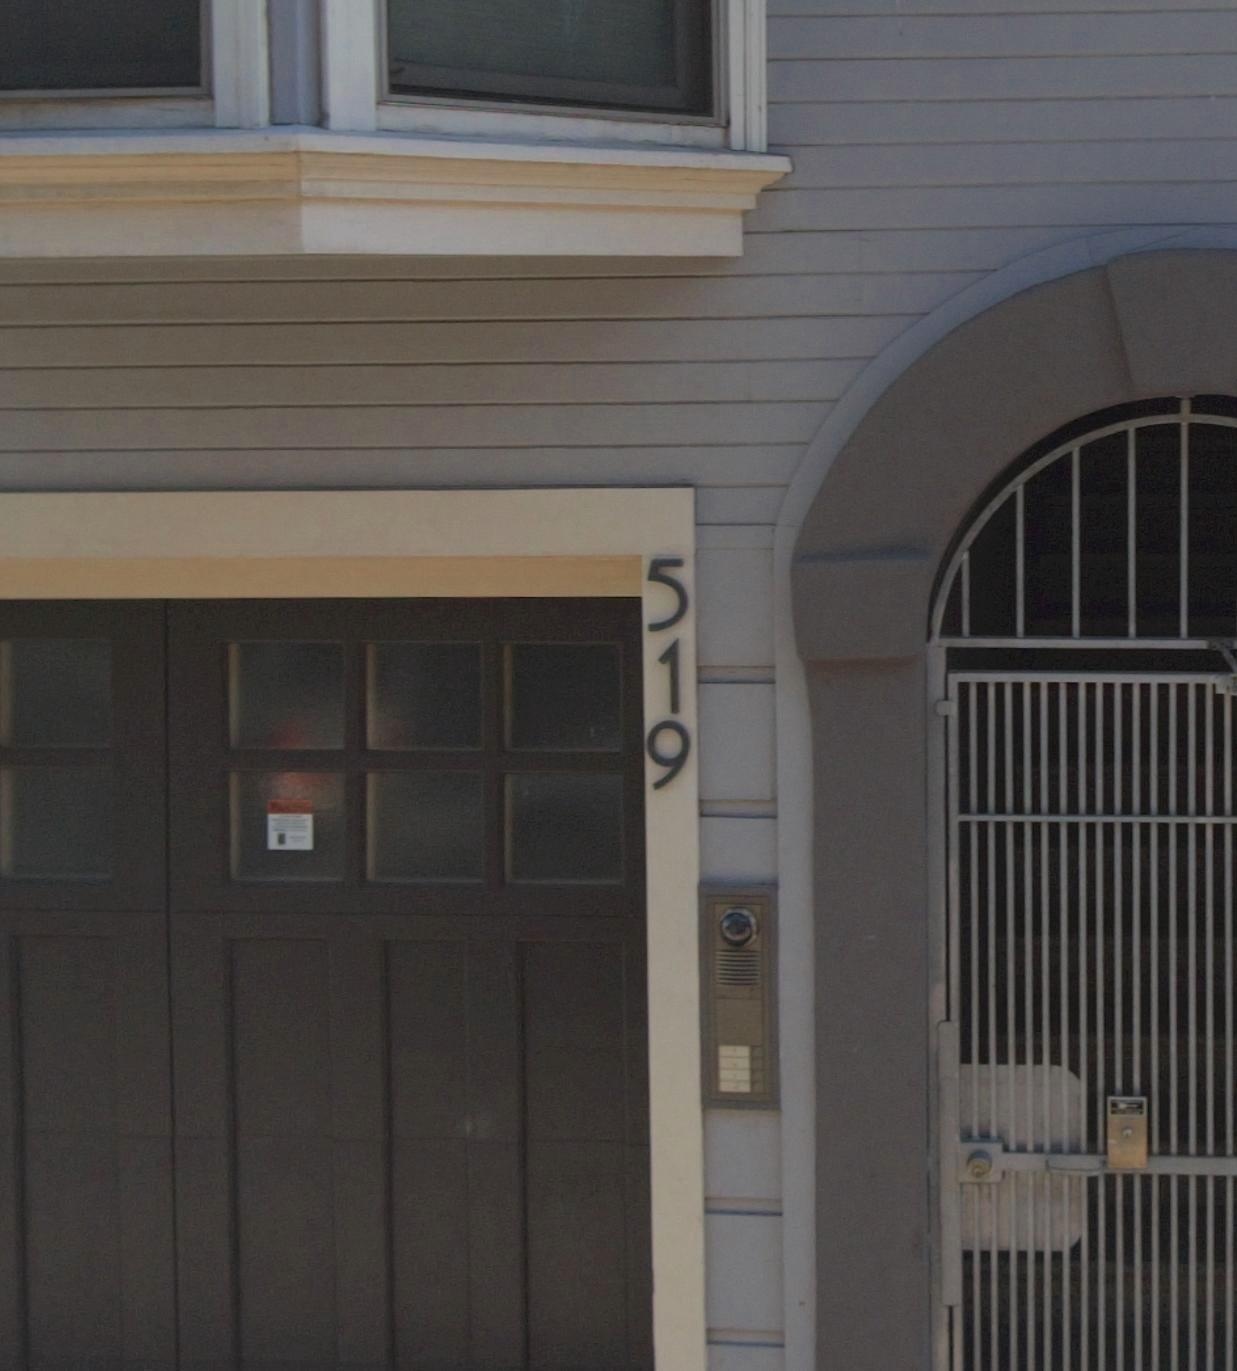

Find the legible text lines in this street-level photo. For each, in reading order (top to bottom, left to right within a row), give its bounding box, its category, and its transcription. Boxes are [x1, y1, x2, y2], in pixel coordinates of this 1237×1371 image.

[645, 555, 692, 793] StreetNumber: 519